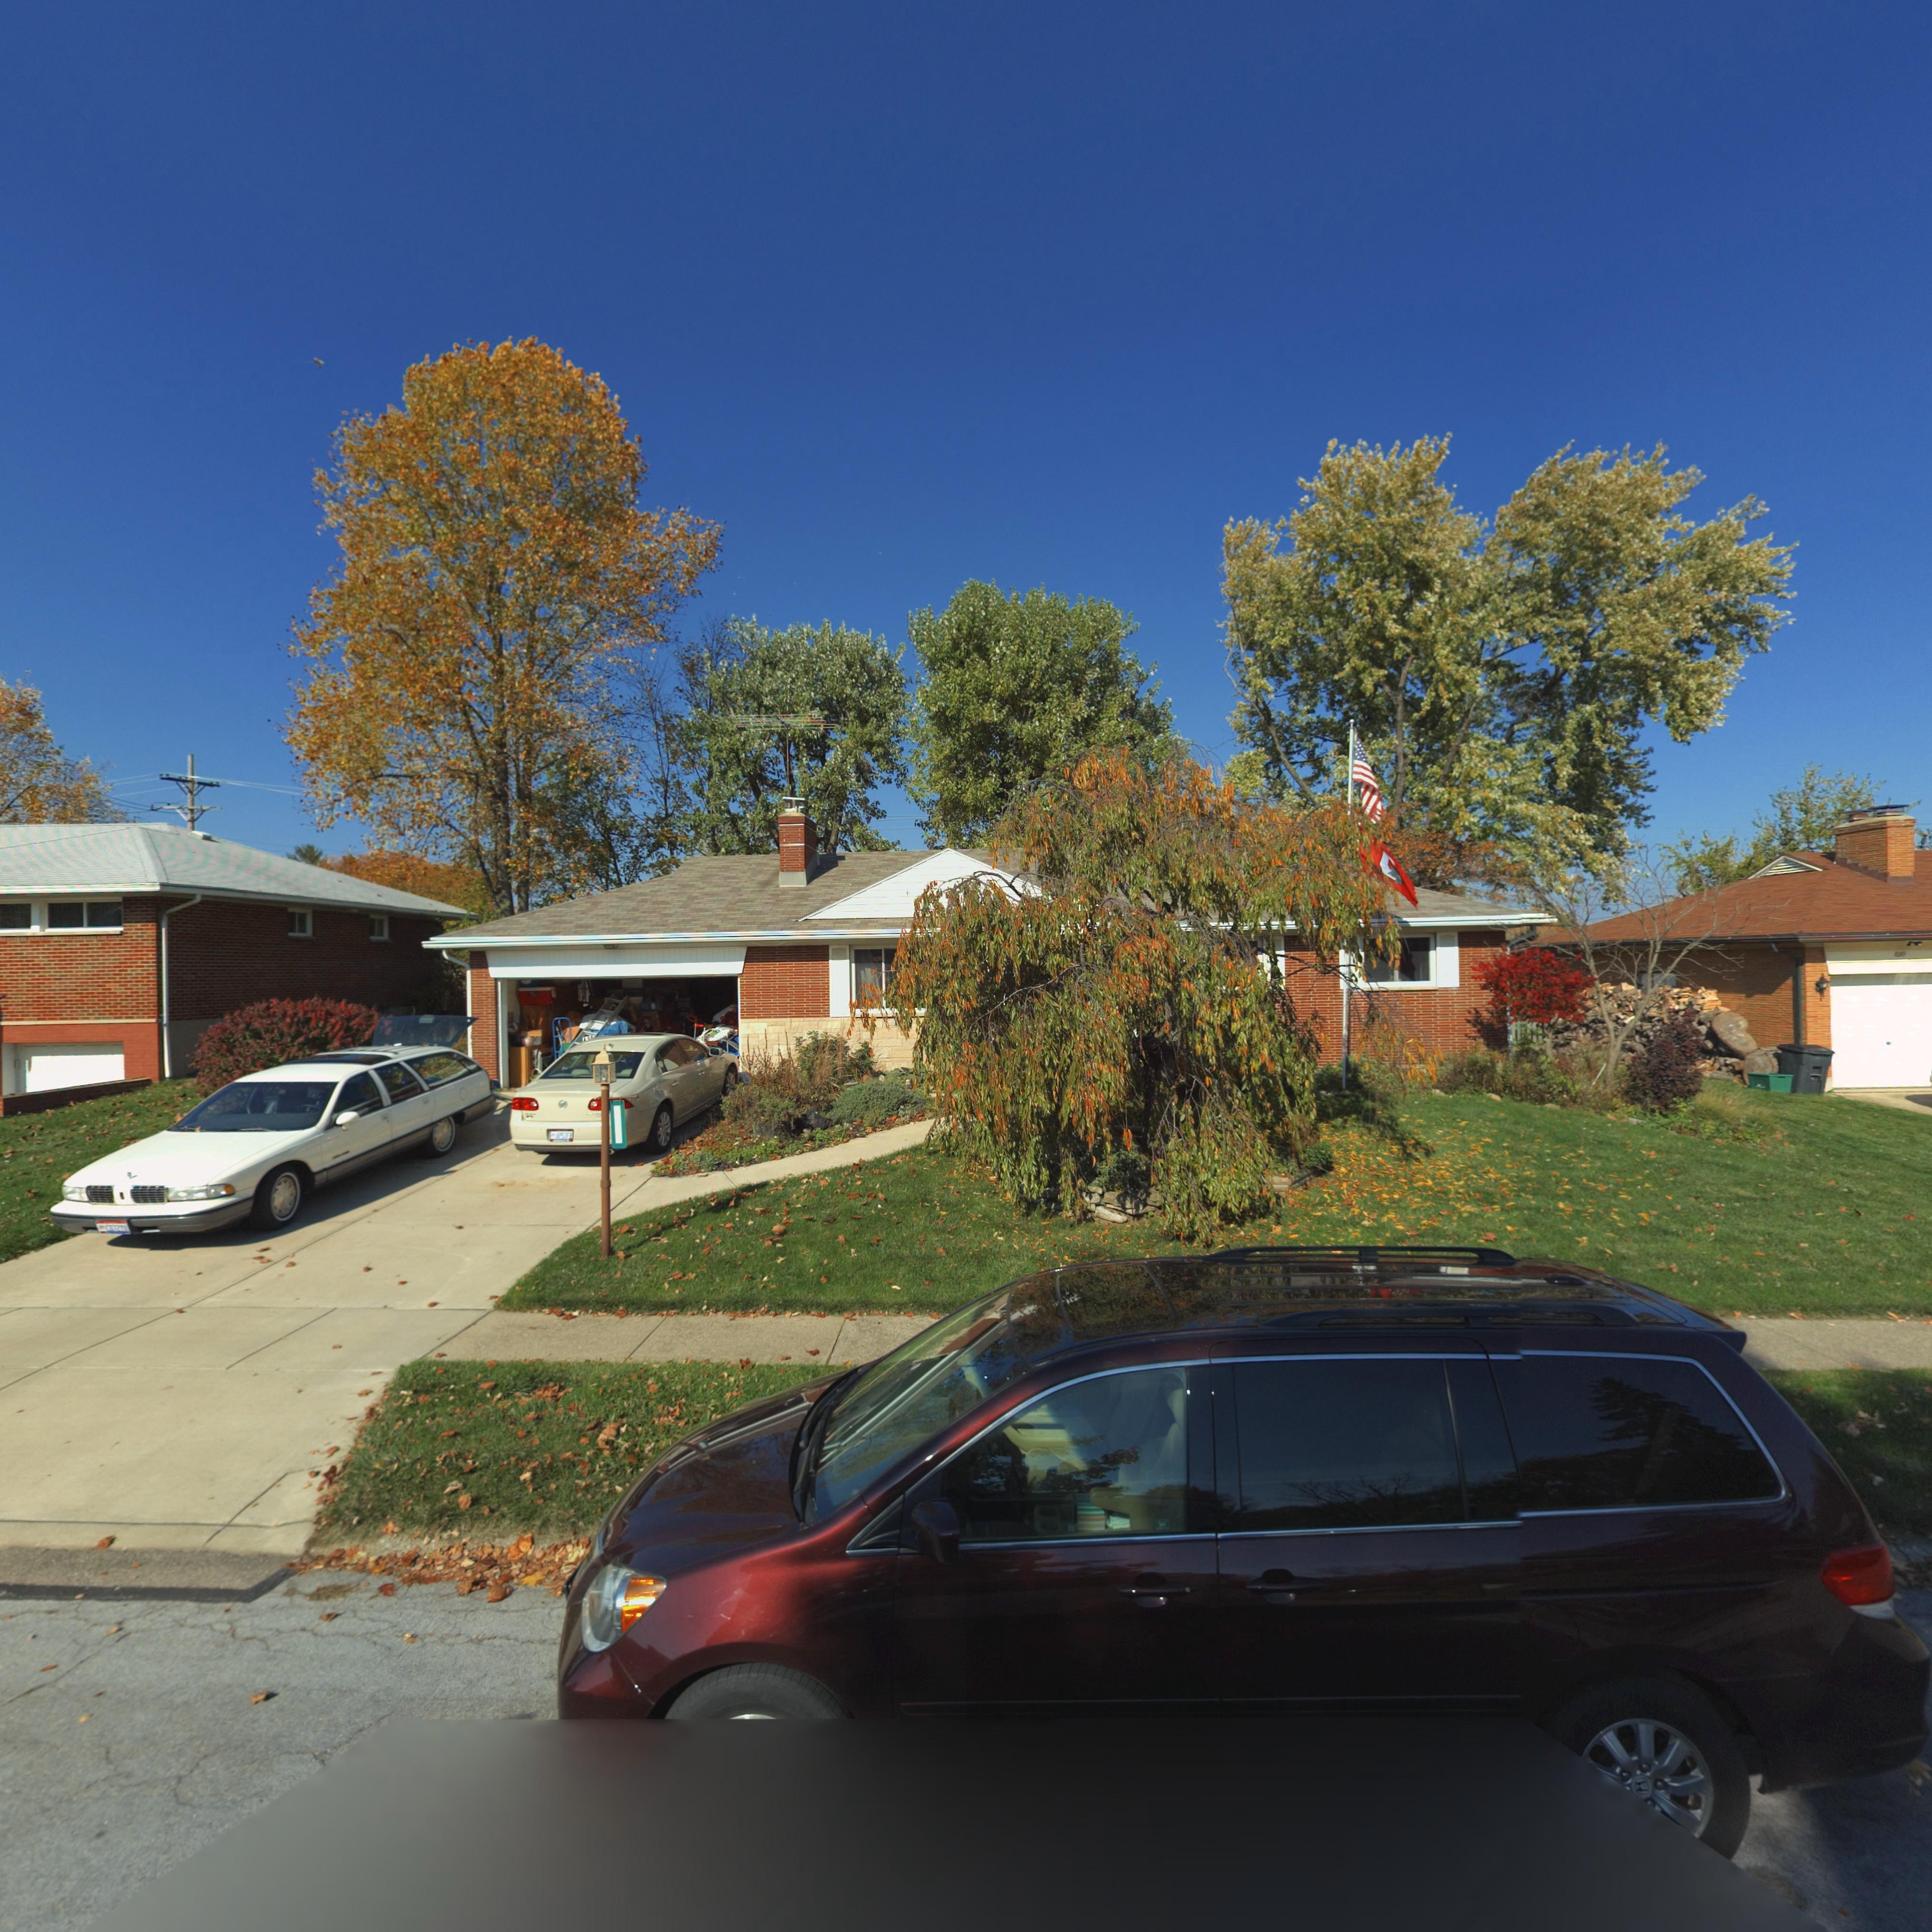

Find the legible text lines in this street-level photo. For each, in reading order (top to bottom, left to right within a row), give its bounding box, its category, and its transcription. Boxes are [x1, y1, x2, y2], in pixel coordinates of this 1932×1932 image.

[1893, 951, 1906, 957] StreetNumber: 1**9